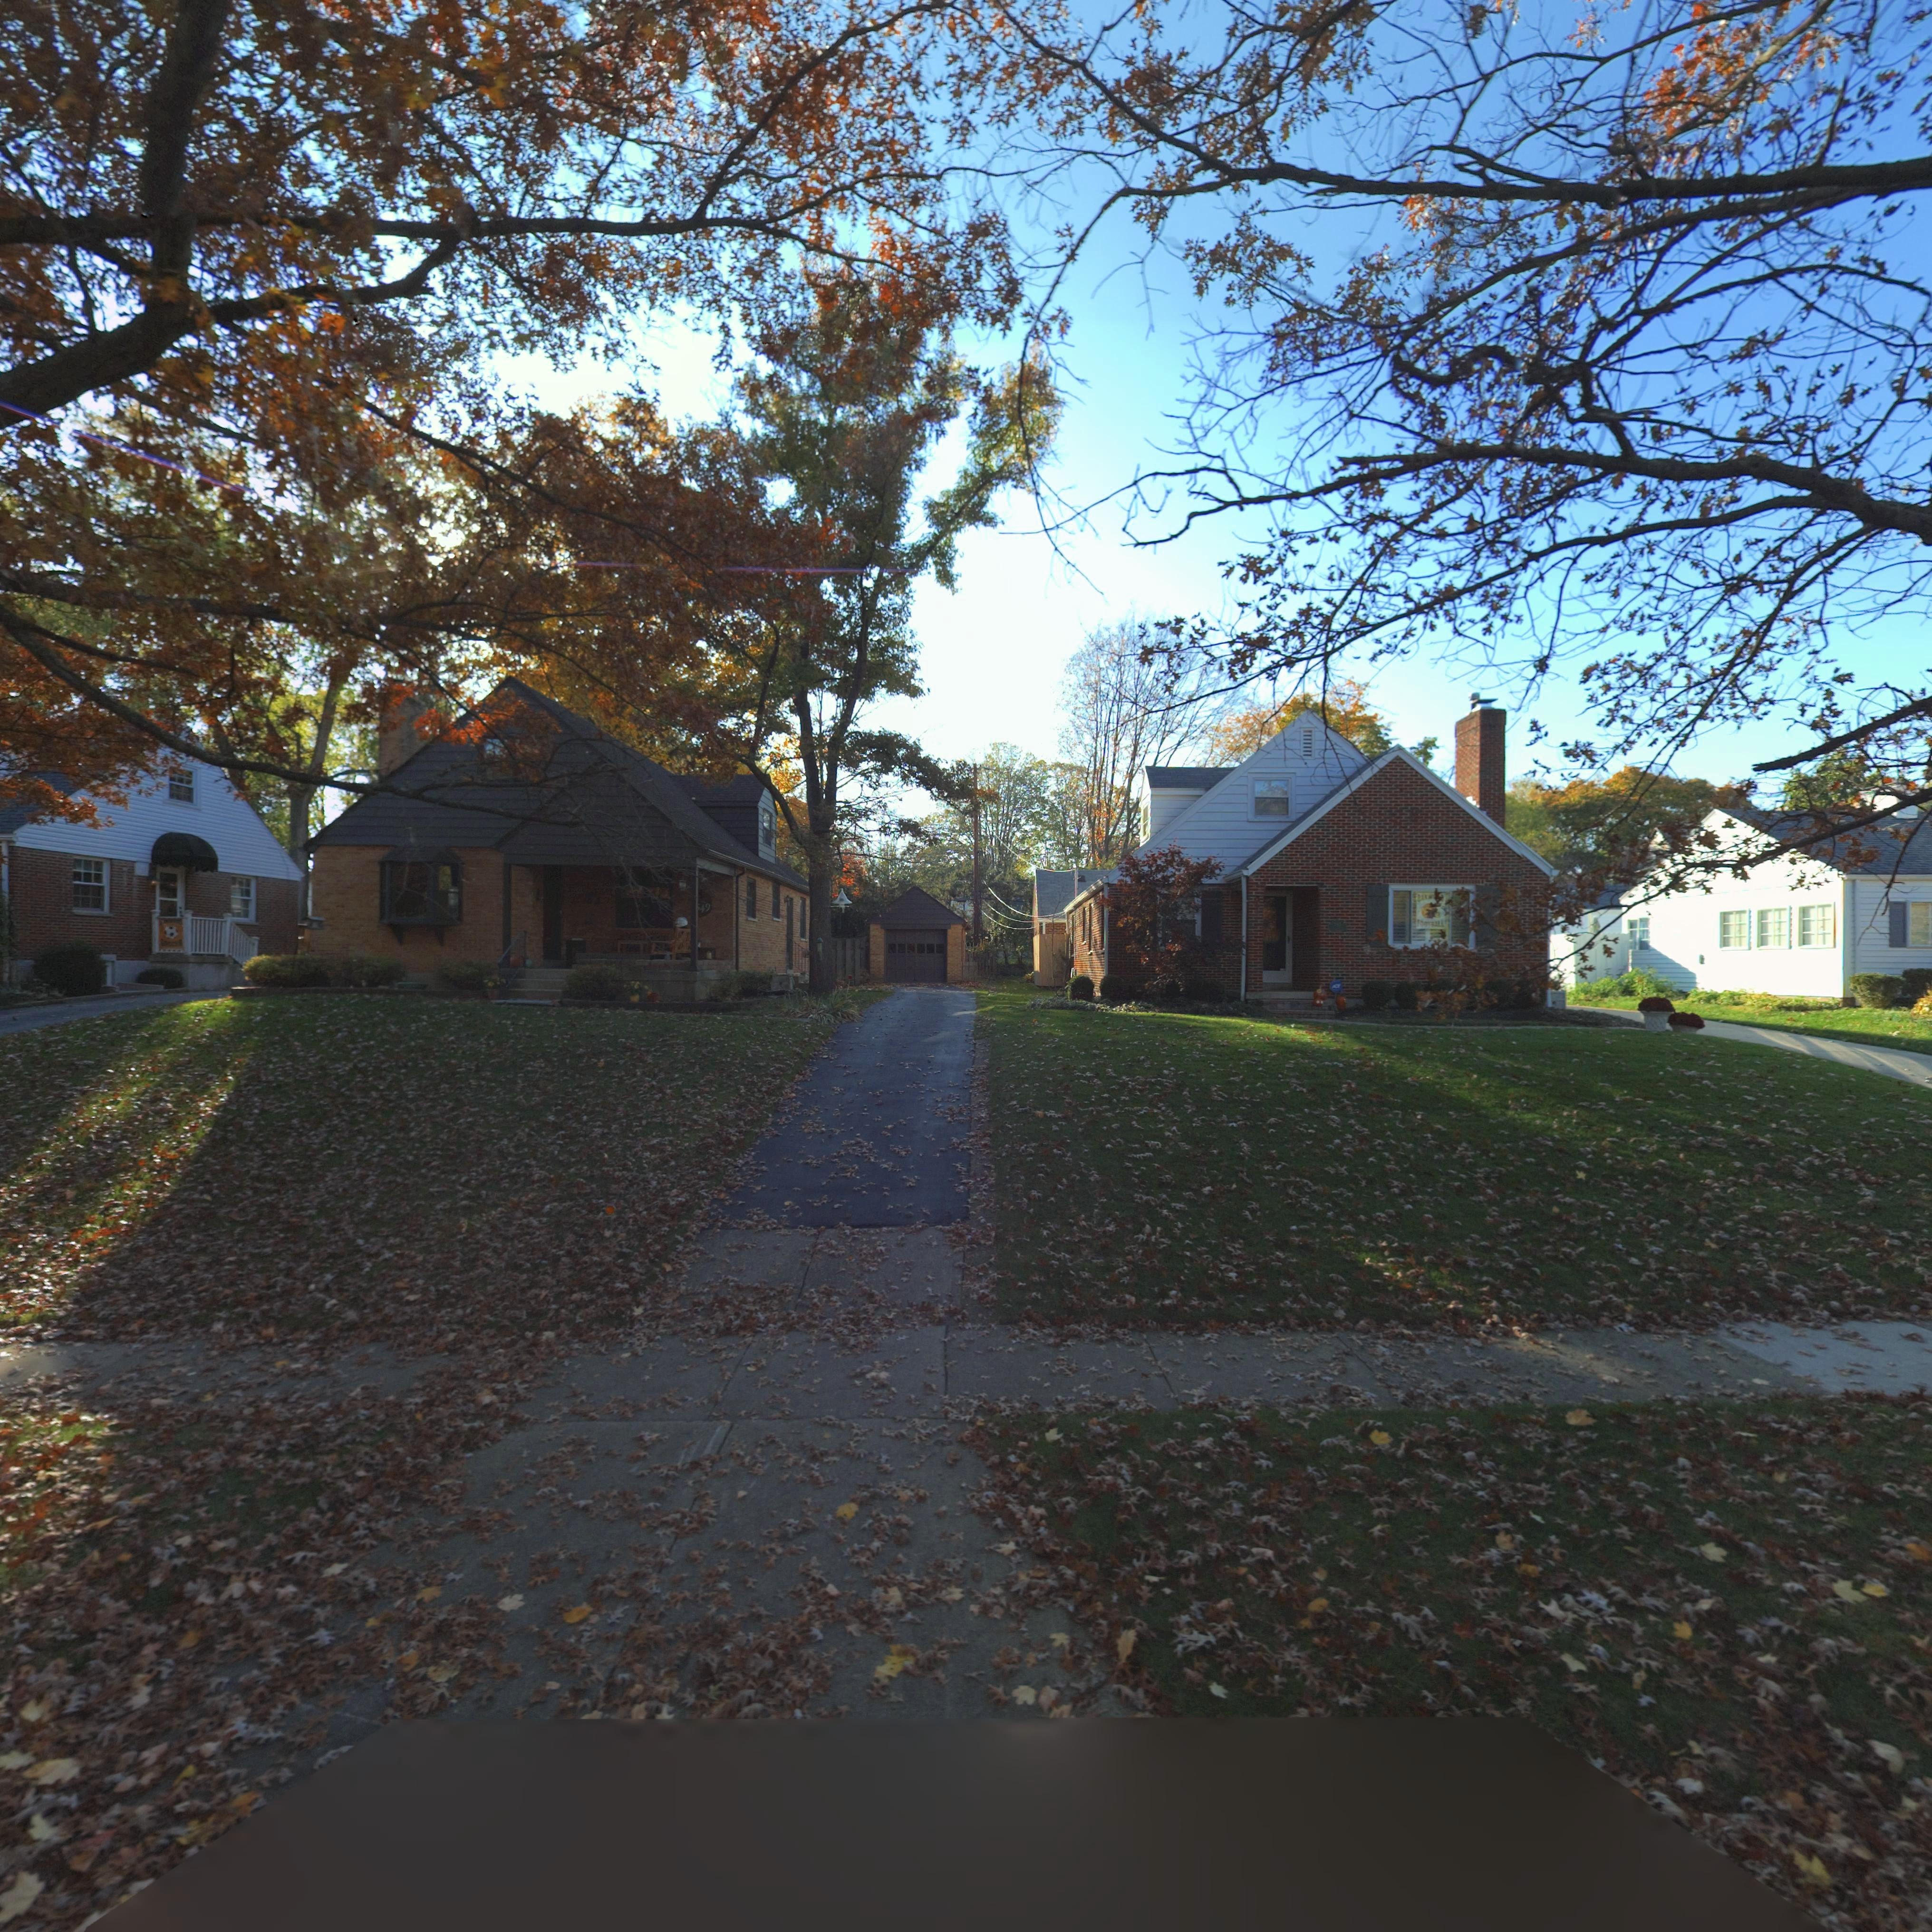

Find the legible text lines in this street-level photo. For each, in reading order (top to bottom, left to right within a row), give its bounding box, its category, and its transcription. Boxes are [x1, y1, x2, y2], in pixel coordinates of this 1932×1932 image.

[696, 902, 711, 912] StreetNumber: *49